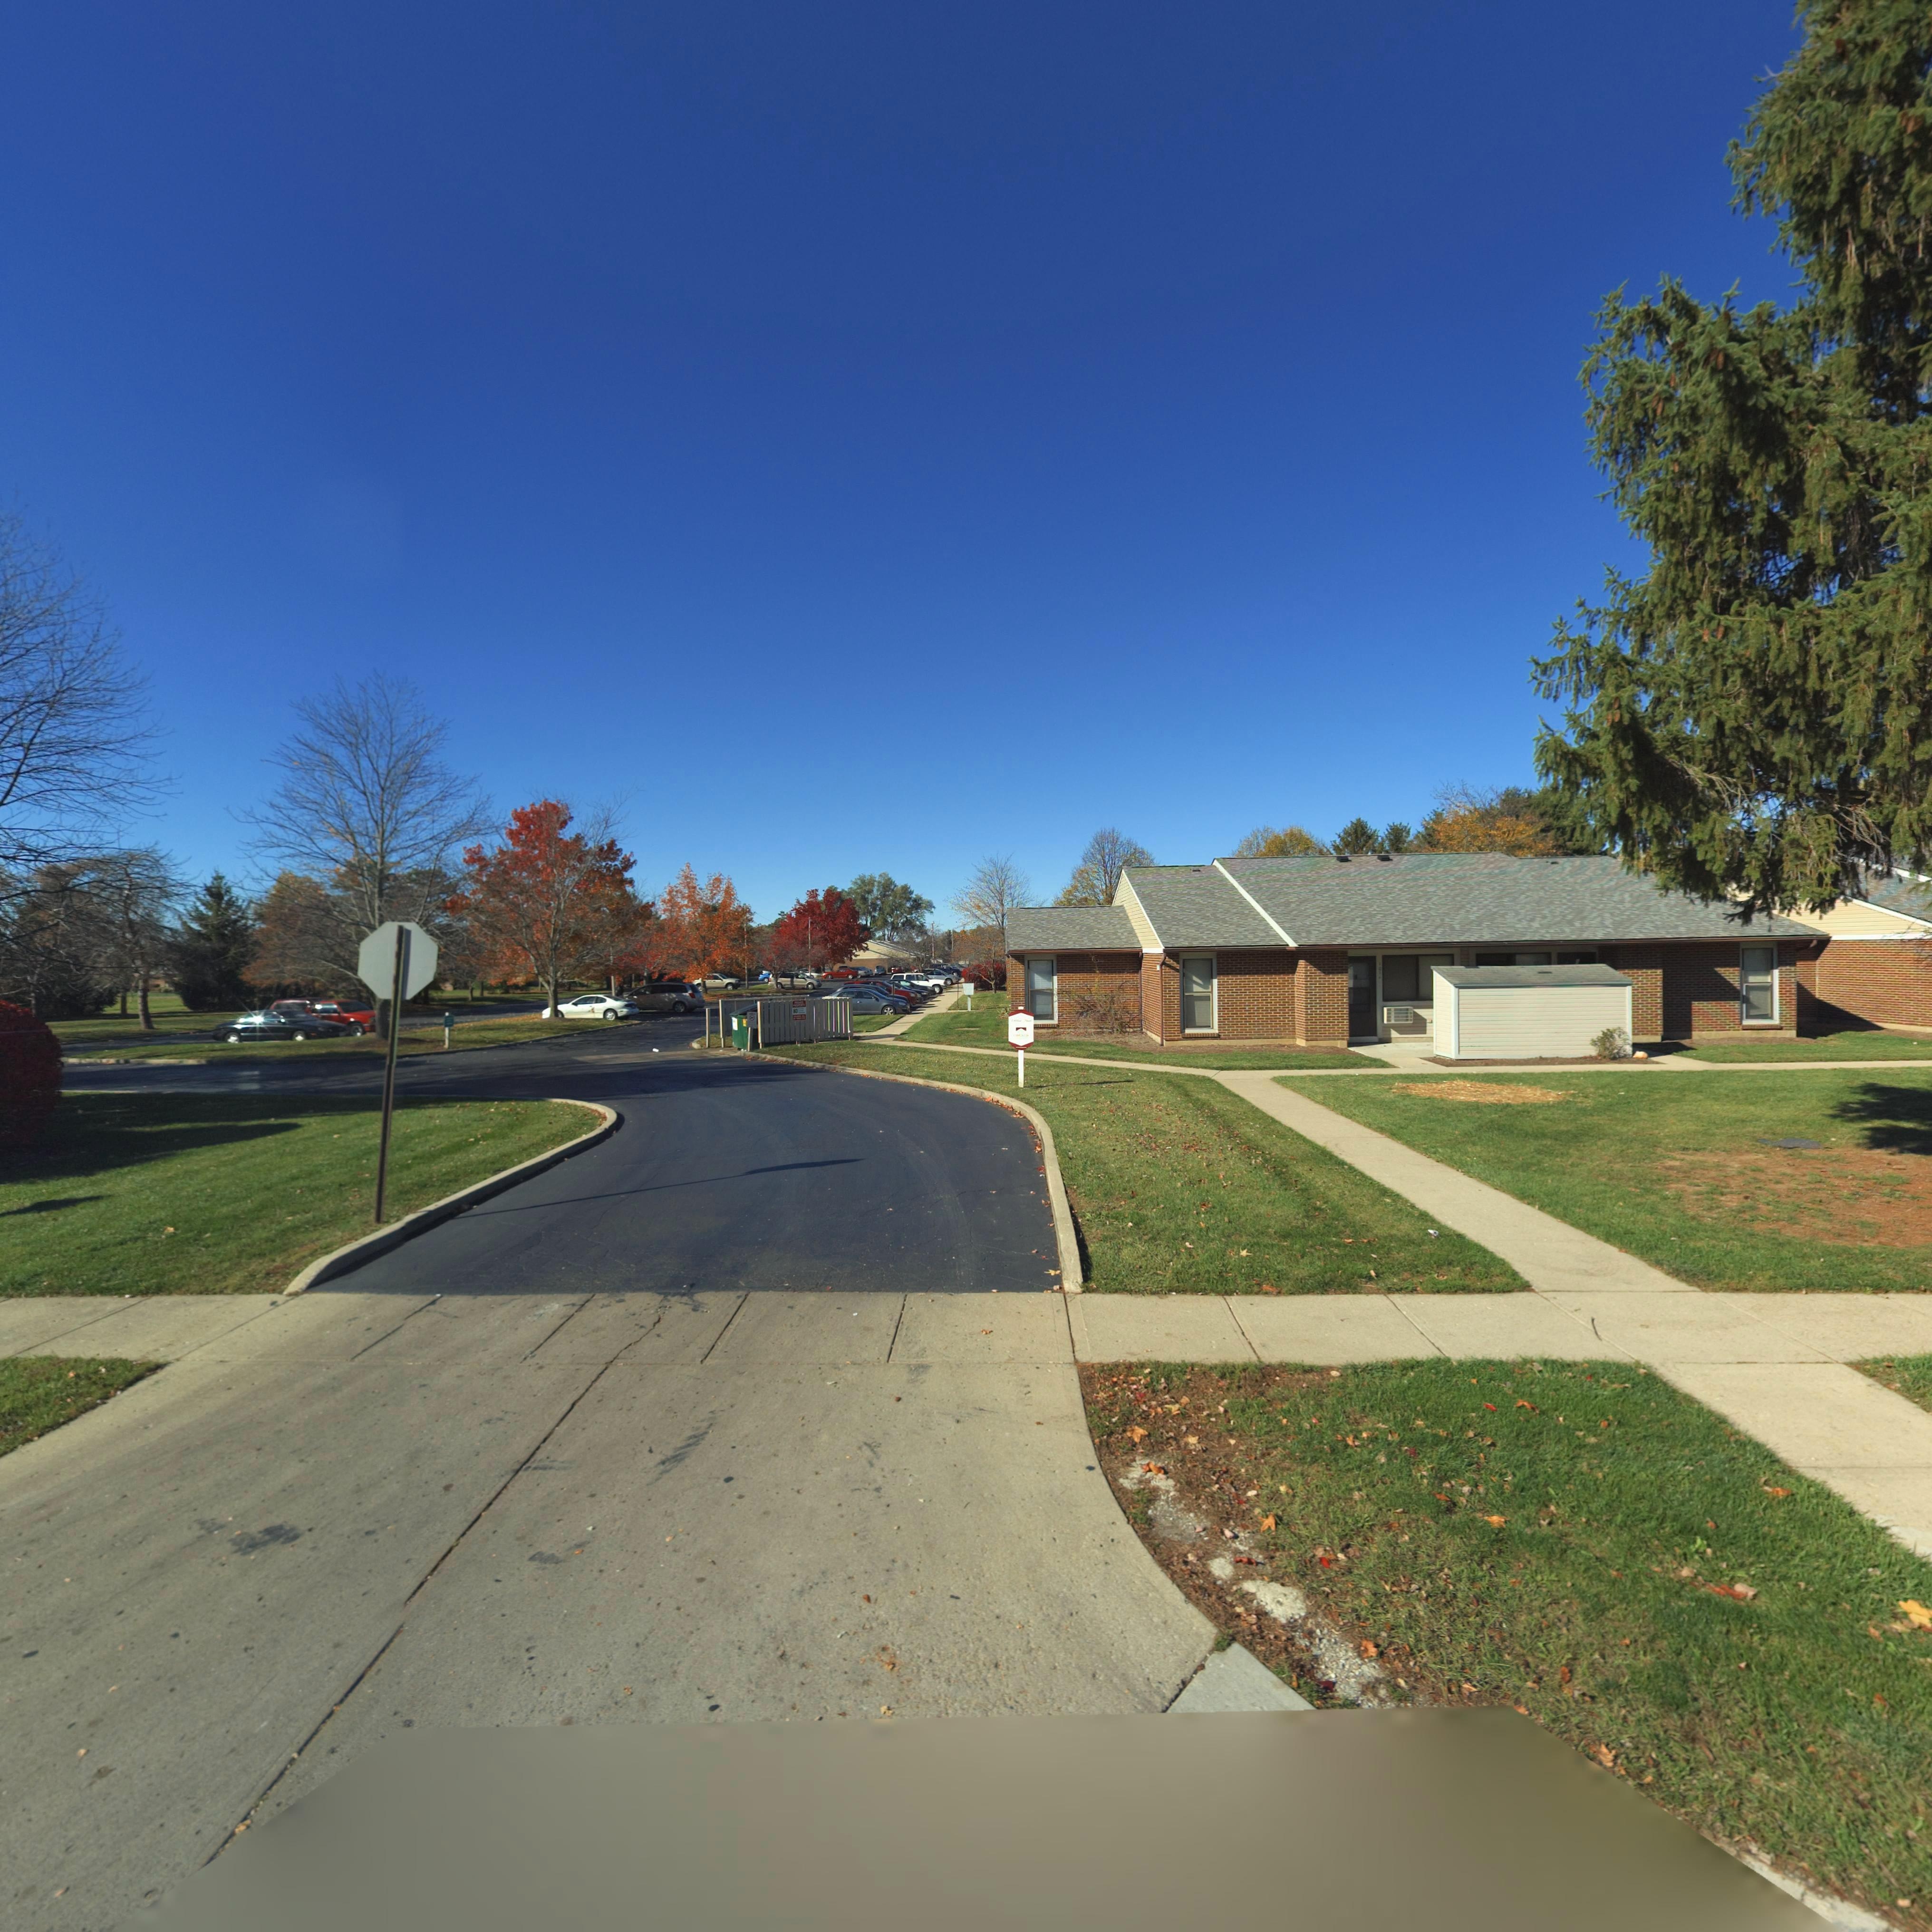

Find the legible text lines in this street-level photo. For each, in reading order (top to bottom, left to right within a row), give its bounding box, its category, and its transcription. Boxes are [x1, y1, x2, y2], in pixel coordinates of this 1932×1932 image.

[1378, 961, 1381, 975] StreetNumber: 101